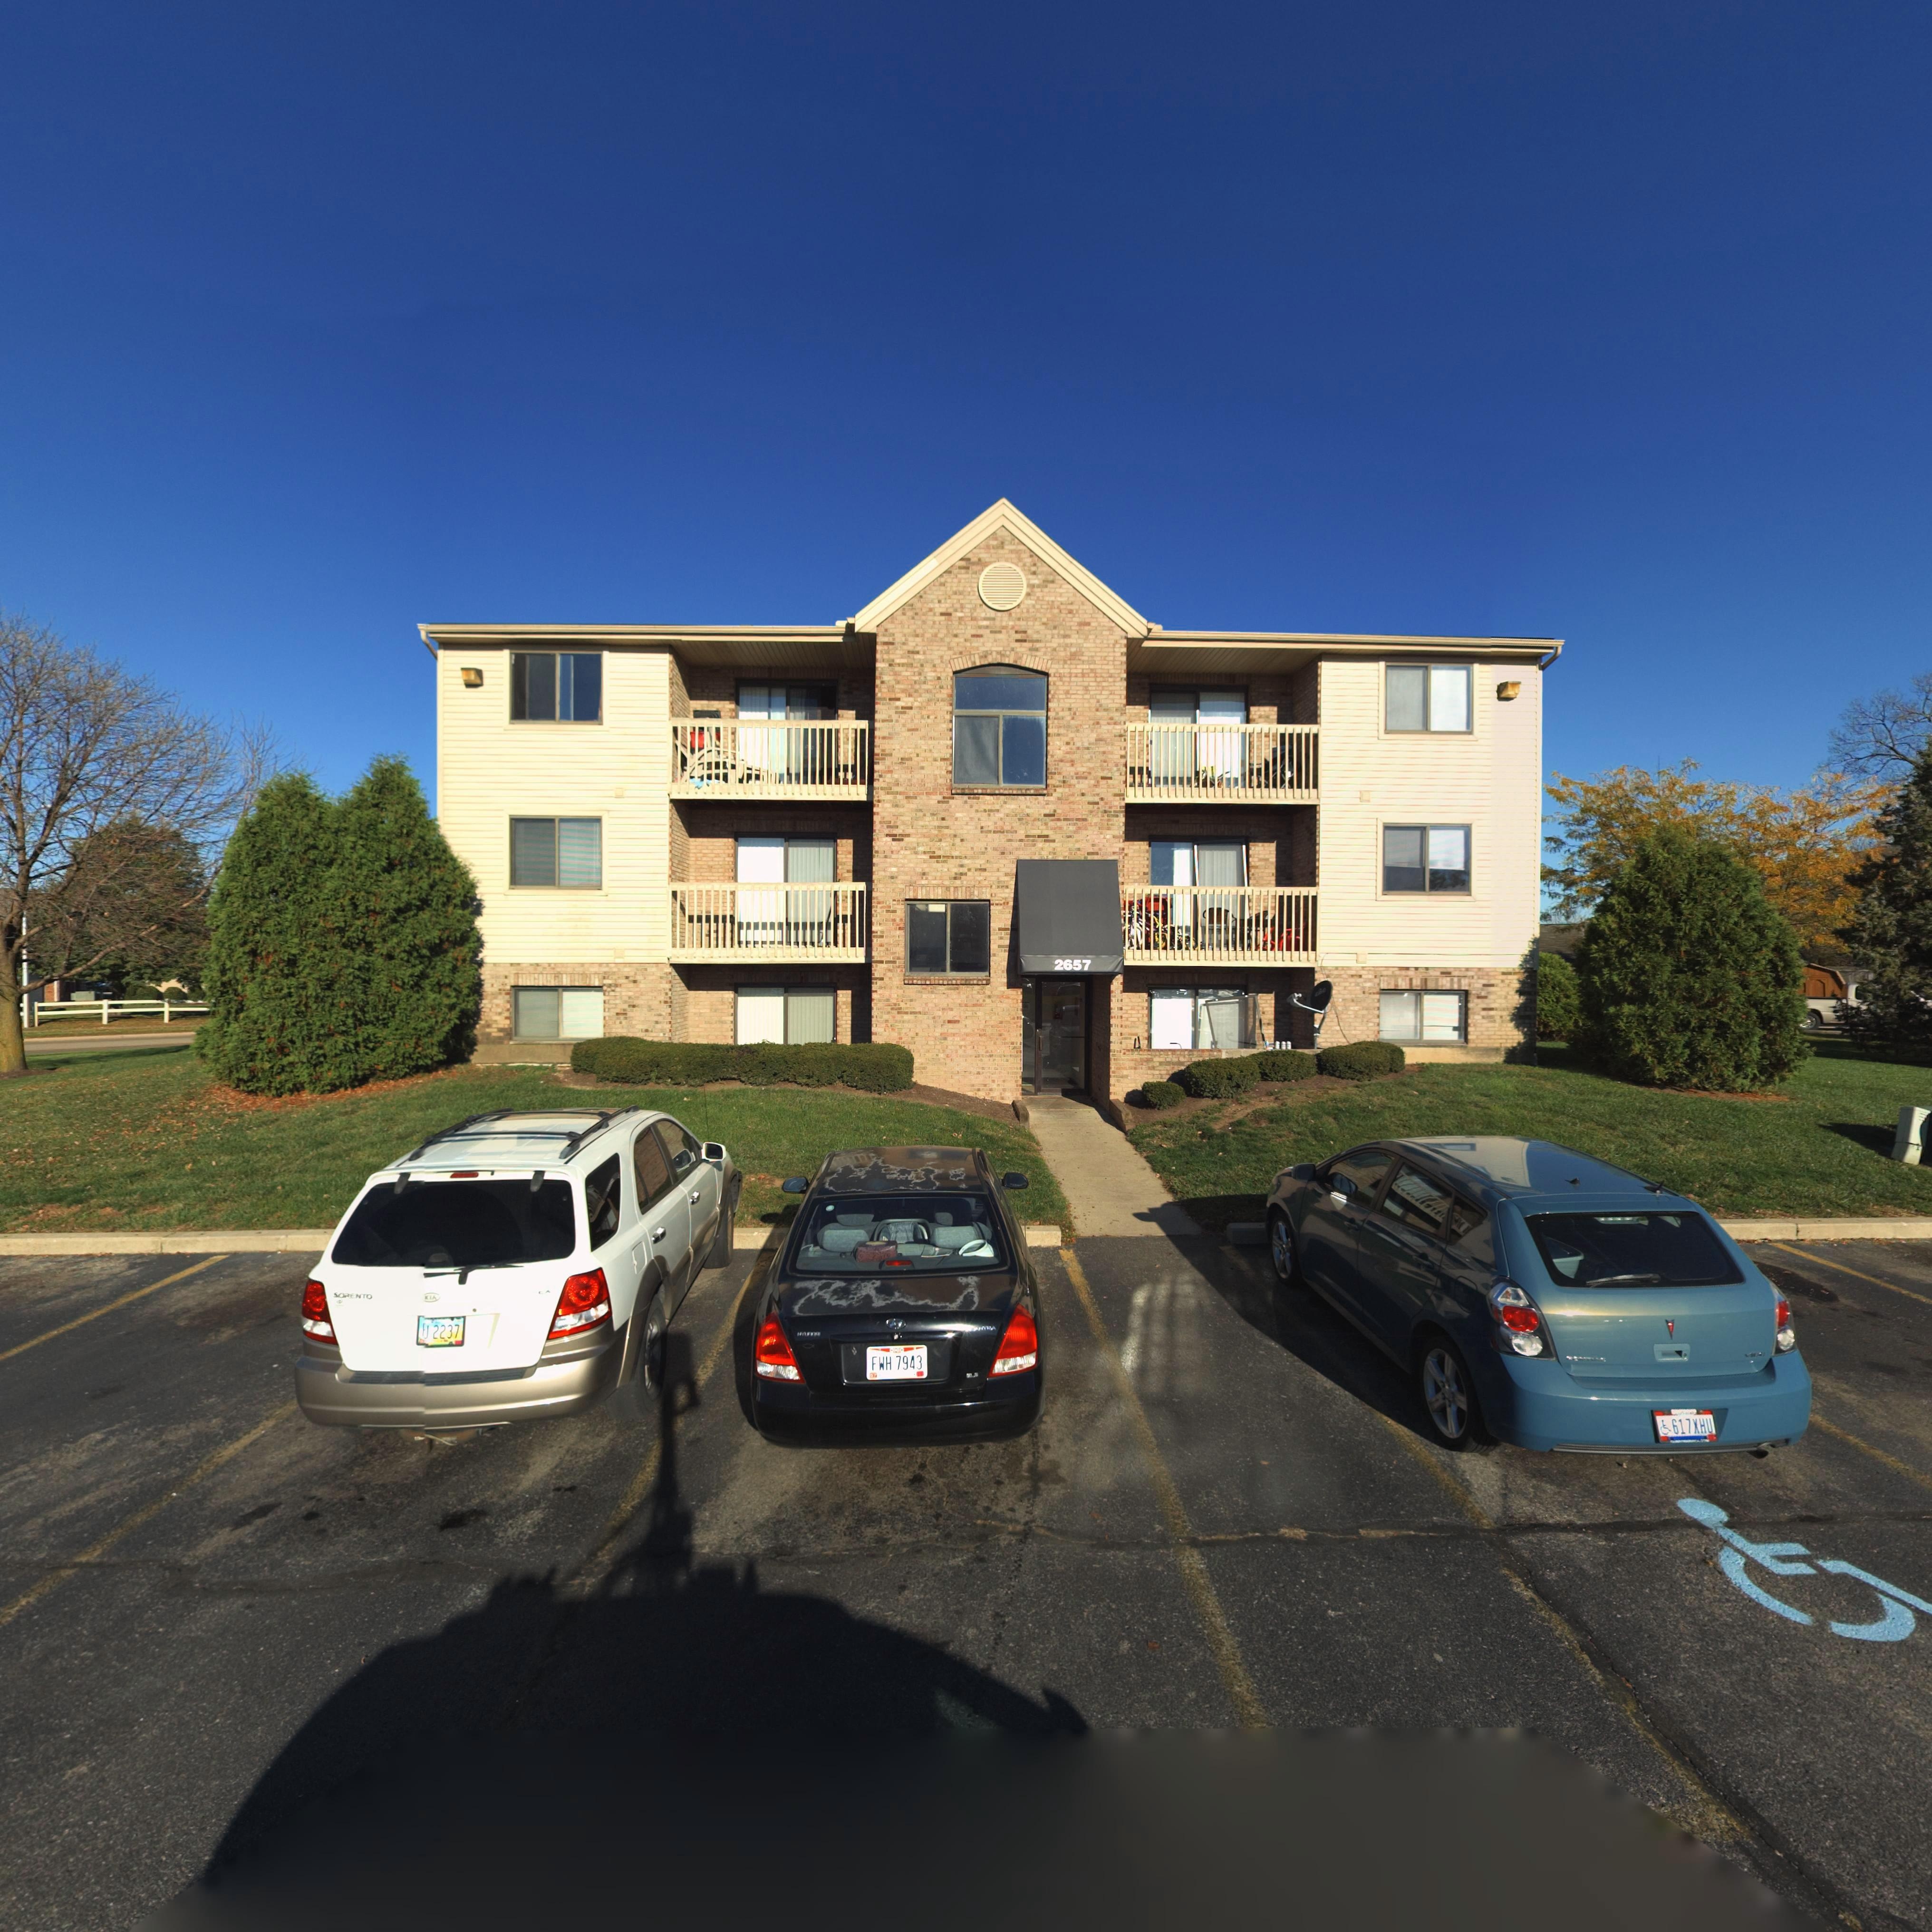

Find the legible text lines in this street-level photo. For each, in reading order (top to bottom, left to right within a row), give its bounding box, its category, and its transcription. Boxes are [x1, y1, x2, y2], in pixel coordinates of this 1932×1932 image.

[1053, 959, 1092, 971] StreetNumber: 2657